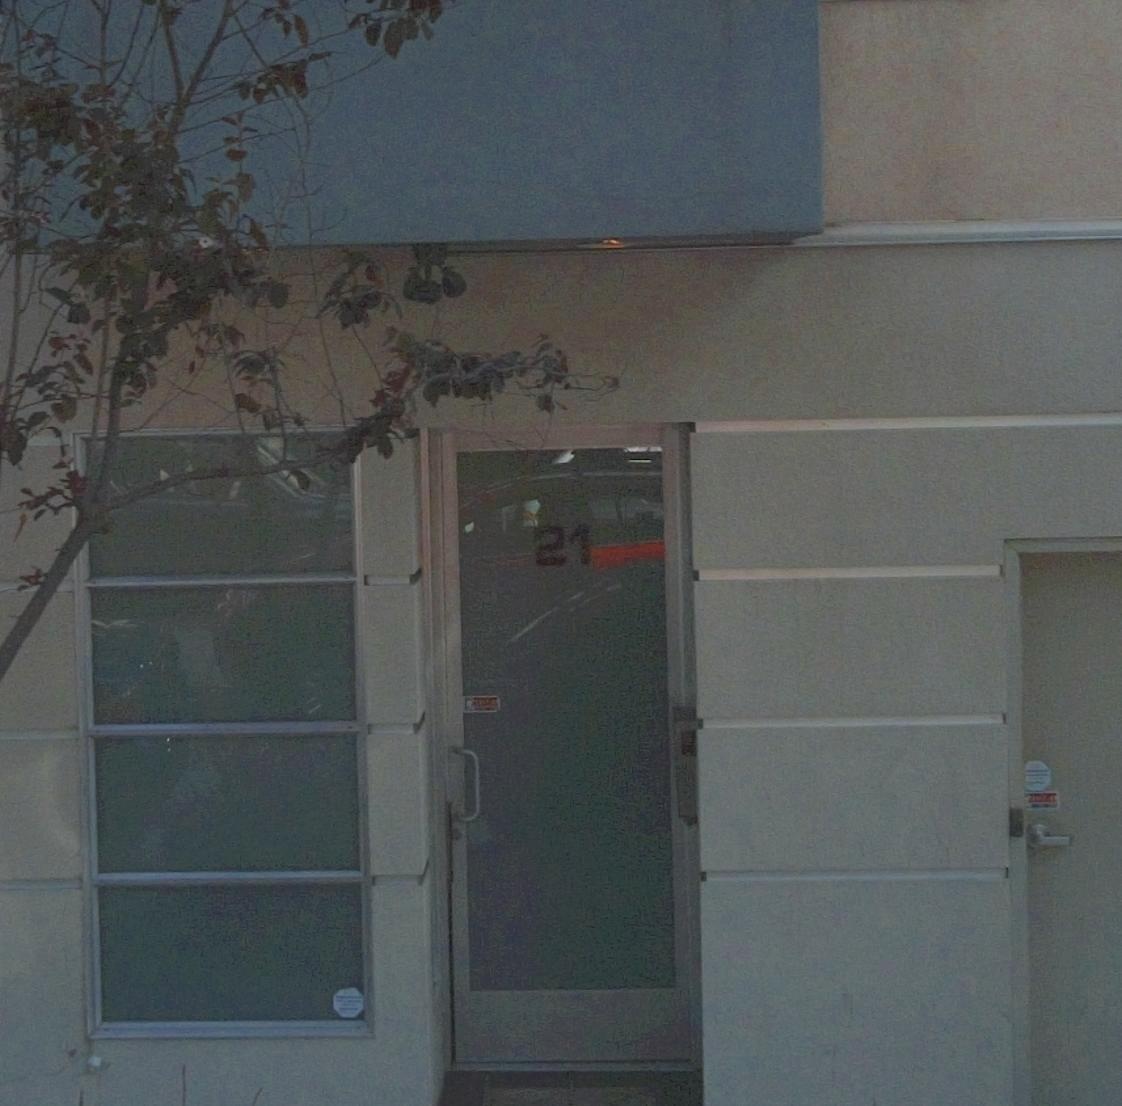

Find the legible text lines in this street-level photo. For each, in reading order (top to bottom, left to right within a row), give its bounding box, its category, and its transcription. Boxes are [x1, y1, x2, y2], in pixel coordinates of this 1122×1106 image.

[532, 519, 596, 571] StreetNumber: 21